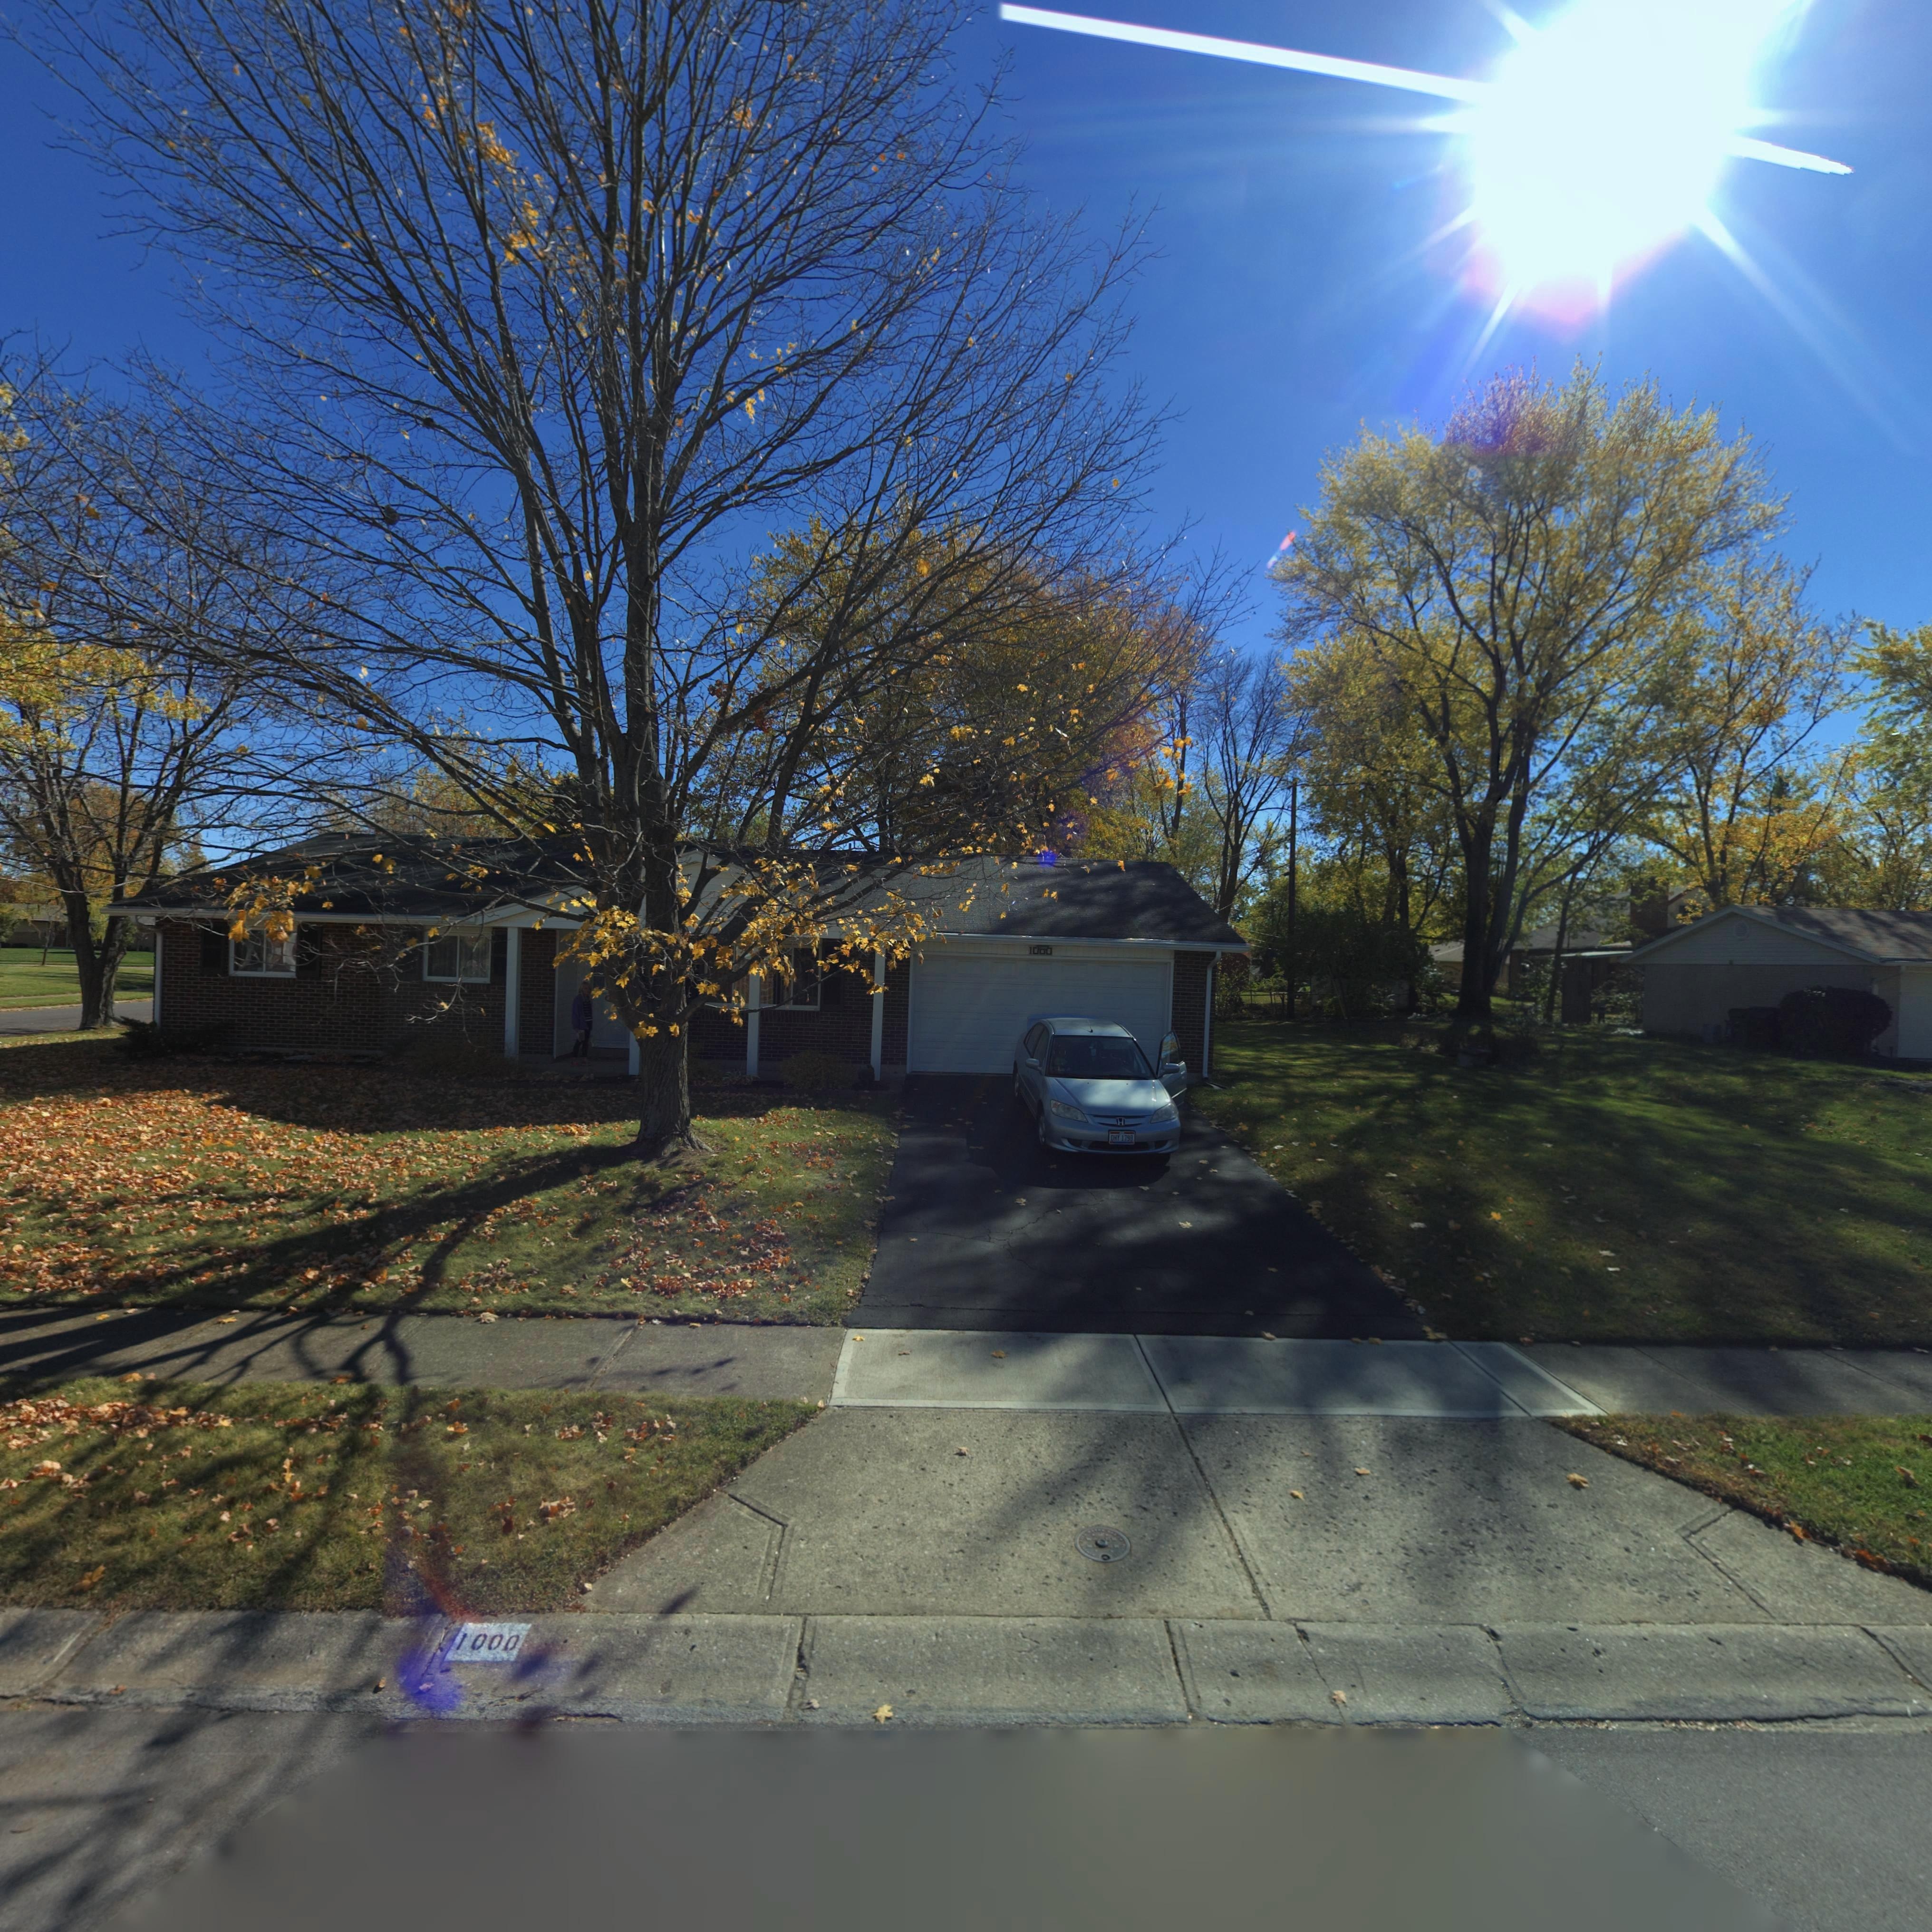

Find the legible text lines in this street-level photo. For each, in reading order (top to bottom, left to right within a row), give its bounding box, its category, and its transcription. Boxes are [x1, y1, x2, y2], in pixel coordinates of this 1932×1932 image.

[1029, 946, 1053, 955] StreetNumber: 1000
[454, 1632, 522, 1652] StreetNumber: 1000